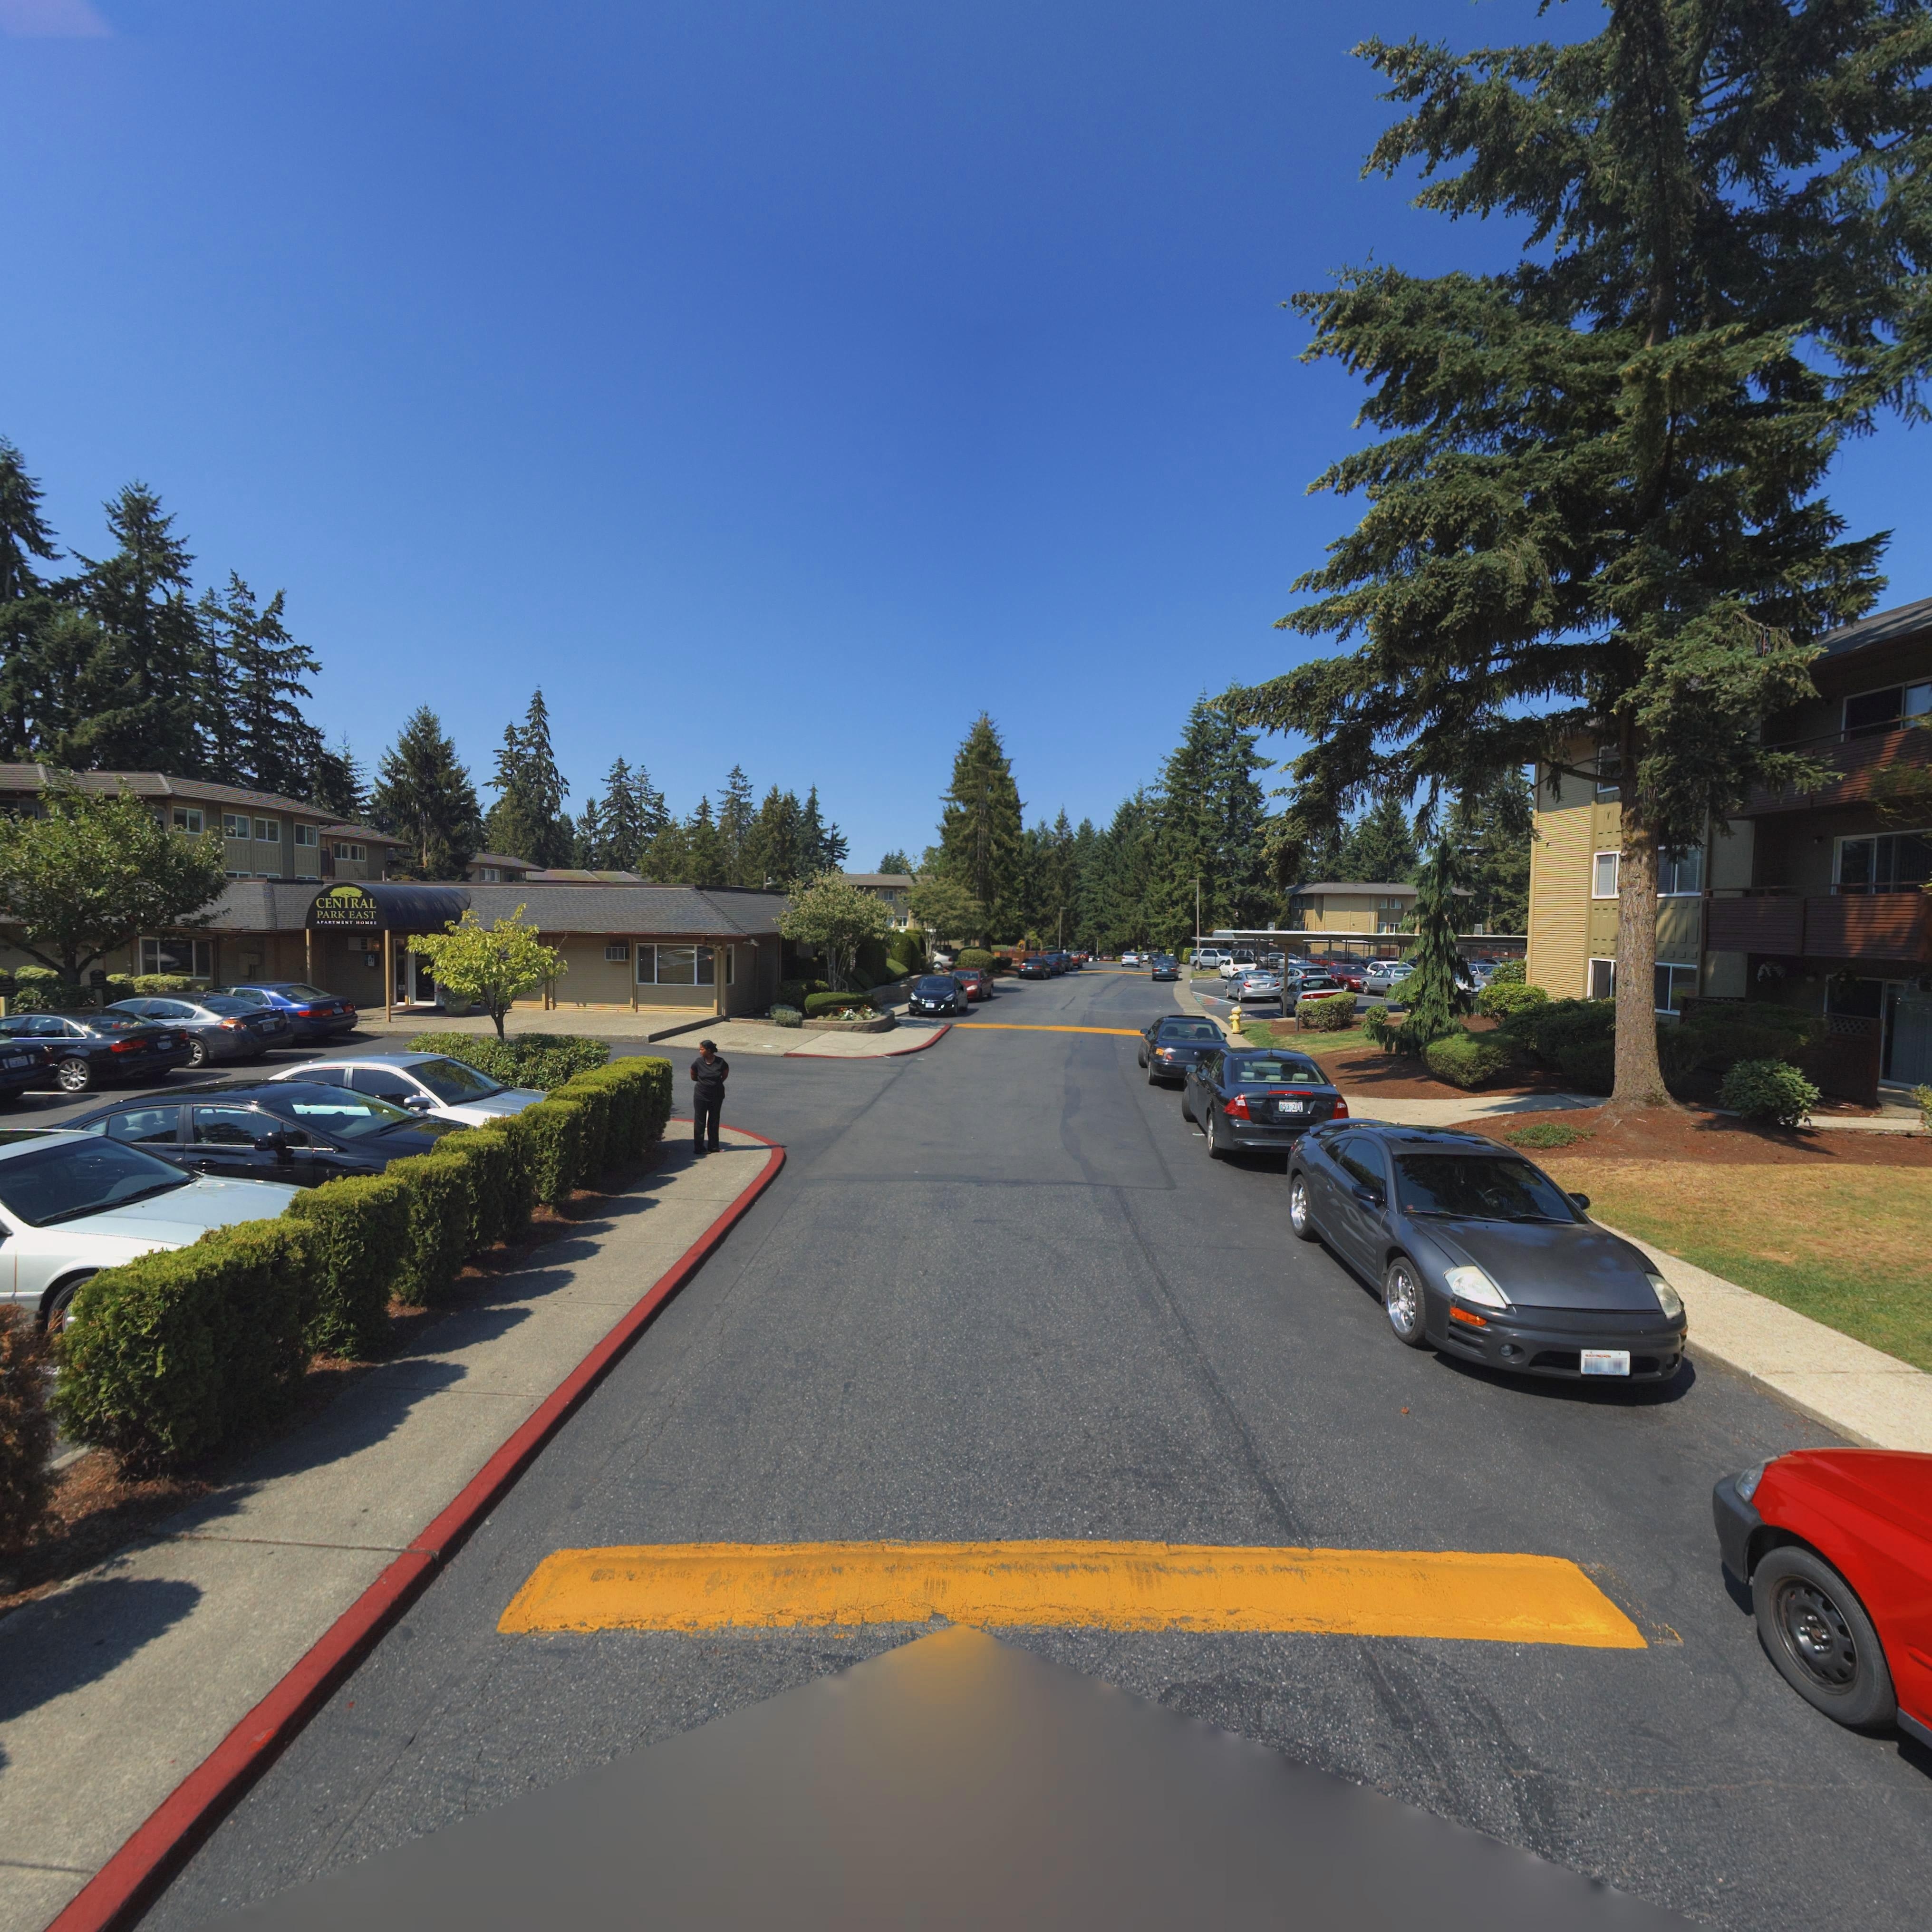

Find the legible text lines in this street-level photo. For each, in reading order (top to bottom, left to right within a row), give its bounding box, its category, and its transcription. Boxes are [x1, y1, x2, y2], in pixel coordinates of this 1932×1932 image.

[315, 898, 377, 908] BusinessName: CEN*RAL
[316, 909, 377, 919] BusinessName: PARK EAST
[316, 920, 377, 925] BusinessName: APARTMENT HOMES